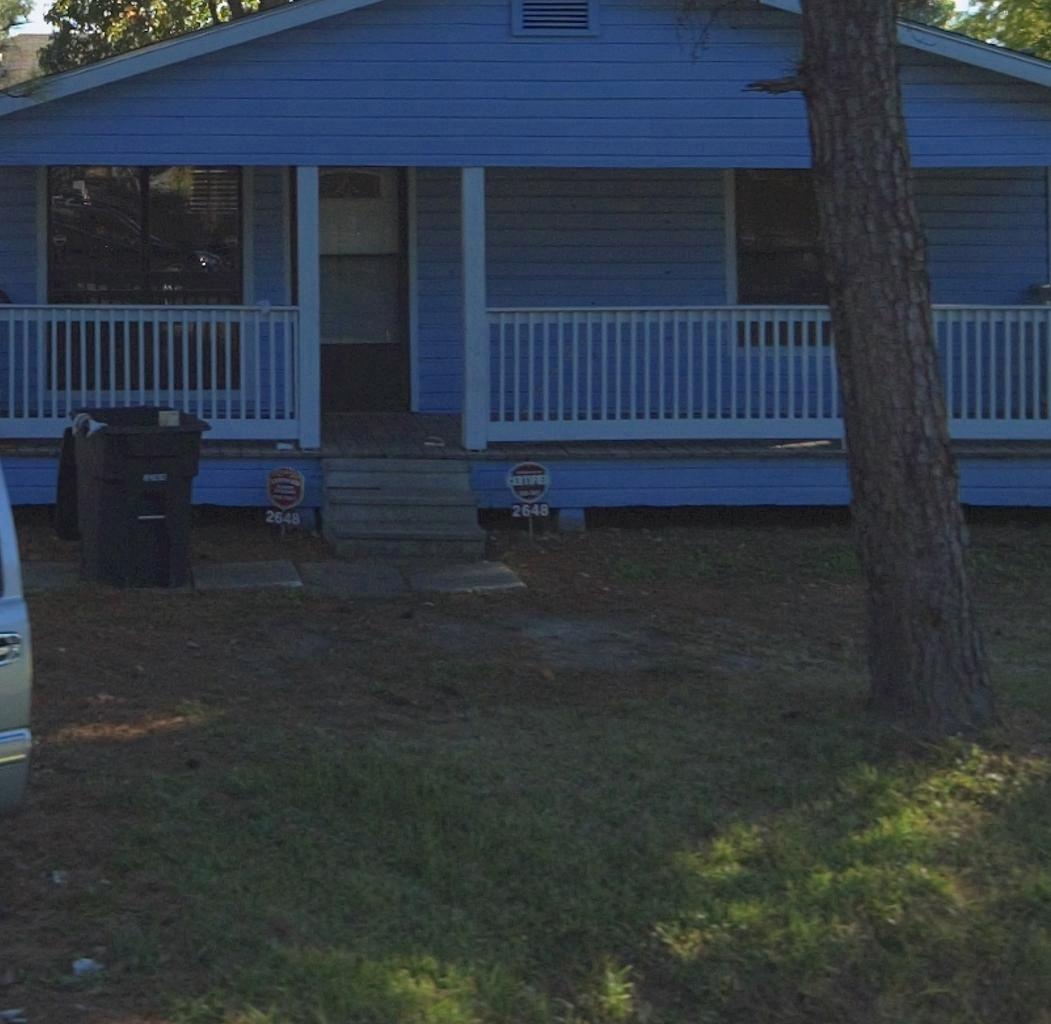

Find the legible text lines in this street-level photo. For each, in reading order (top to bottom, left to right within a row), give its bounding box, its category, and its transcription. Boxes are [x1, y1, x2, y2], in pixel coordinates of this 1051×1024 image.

[505, 474, 552, 486] None: CERTIFIED
[264, 508, 301, 526] StreetNumber: 2048
[510, 503, 550, 517] StreetNumber: 2648